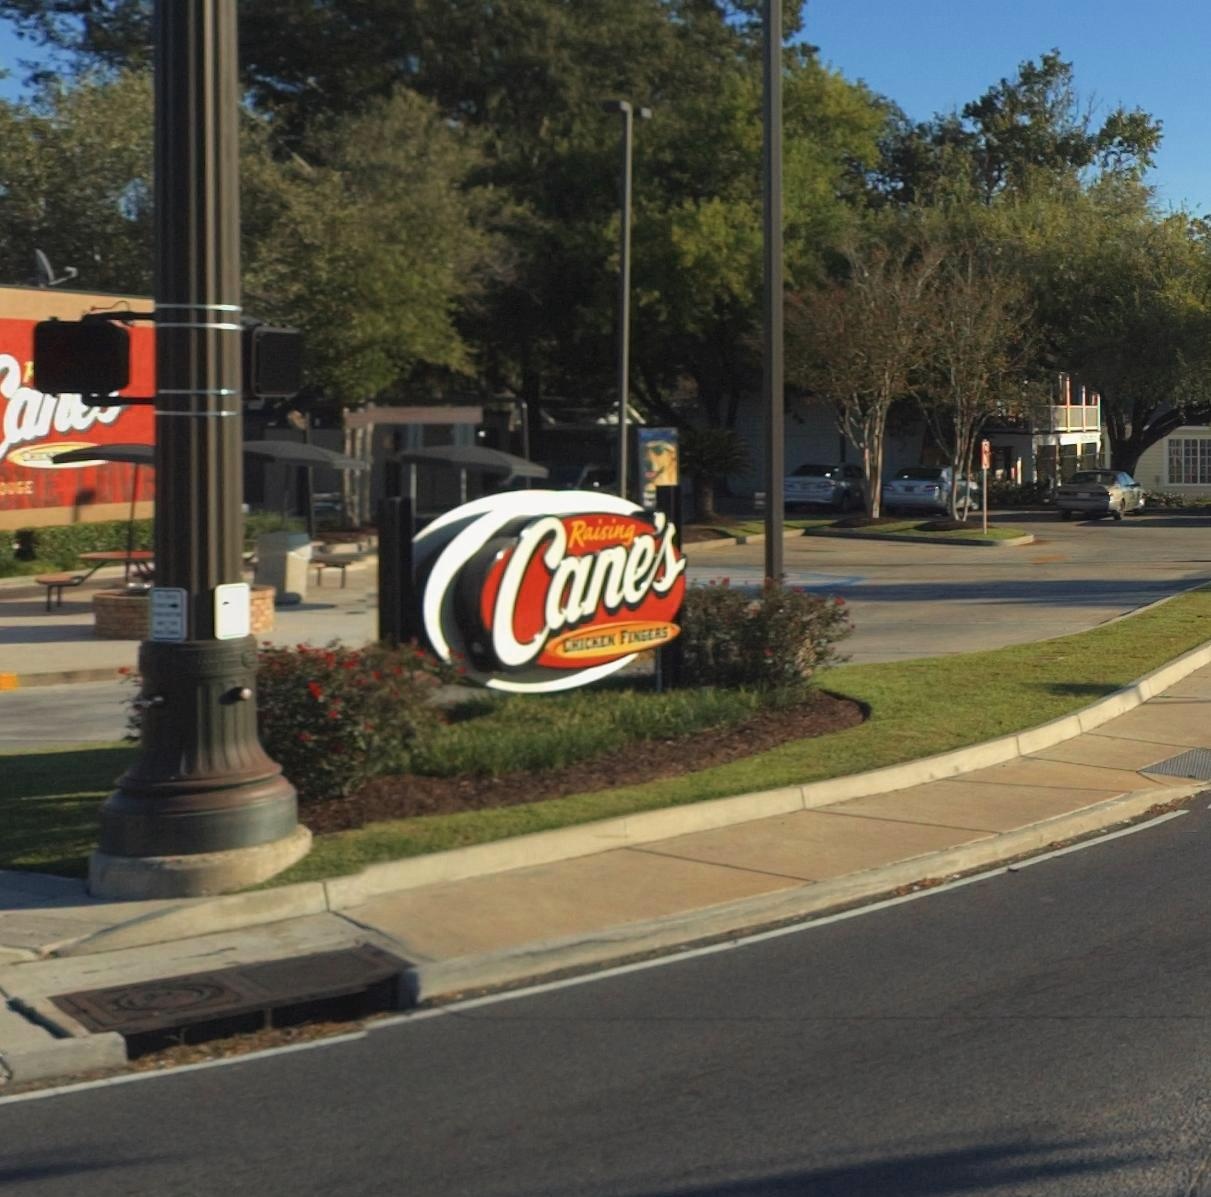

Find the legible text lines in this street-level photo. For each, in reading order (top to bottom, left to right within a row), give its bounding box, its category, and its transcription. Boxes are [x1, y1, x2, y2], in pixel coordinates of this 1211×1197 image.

[1, 384, 46, 445] BusinessName: a
[19, 449, 48, 463] BusinessName: CHIC
[6, 480, 35, 496] None: OGE
[566, 517, 636, 549] BusinessName: Raising
[490, 508, 690, 669] BusinessName: Cane's
[561, 622, 671, 655] BusinessName: CHICKEN FINGERS